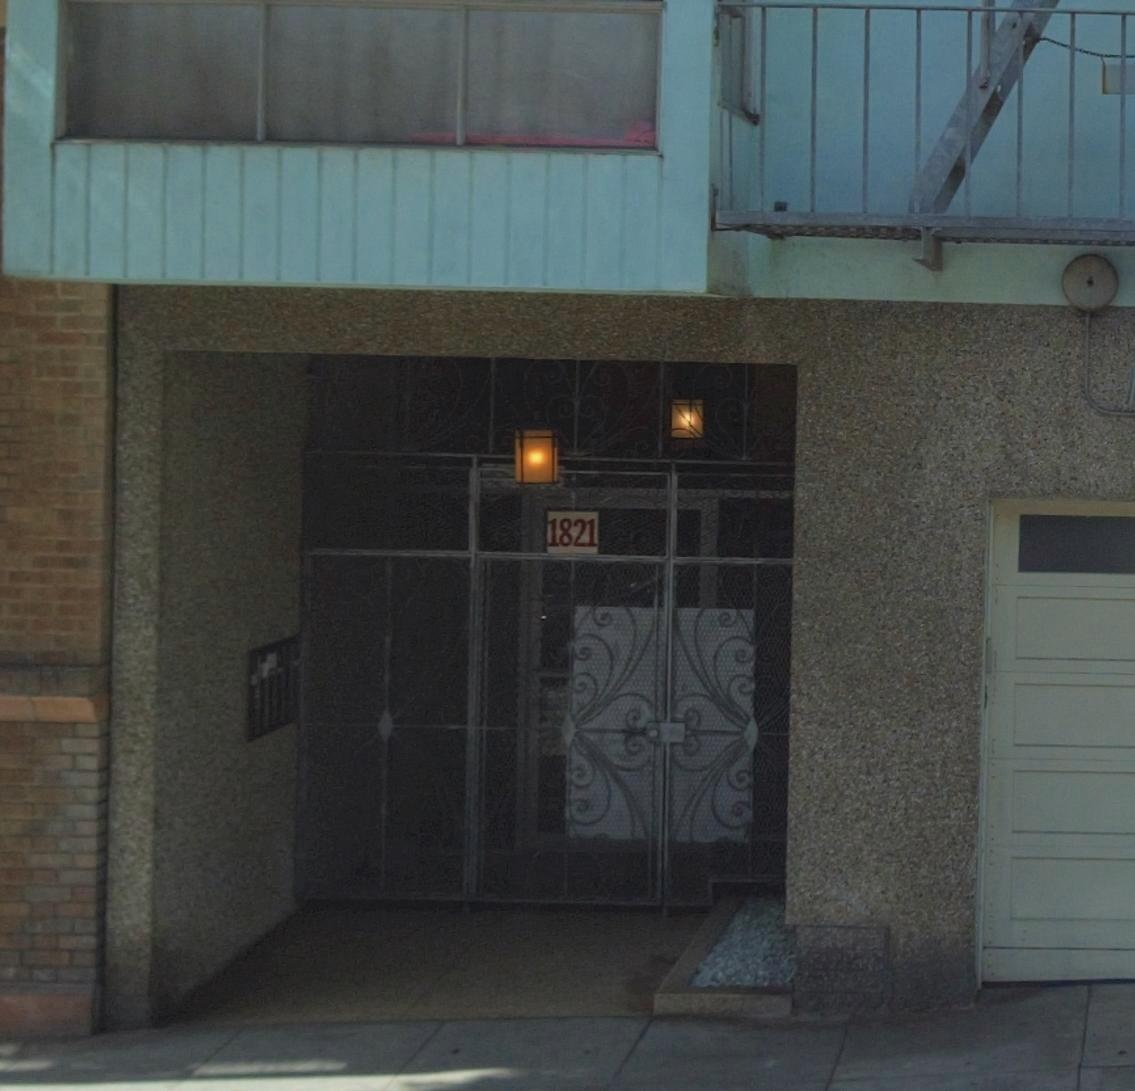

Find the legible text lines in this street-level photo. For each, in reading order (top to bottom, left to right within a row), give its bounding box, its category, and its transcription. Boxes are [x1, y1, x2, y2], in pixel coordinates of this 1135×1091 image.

[546, 516, 599, 549] StreetNumber: 1821